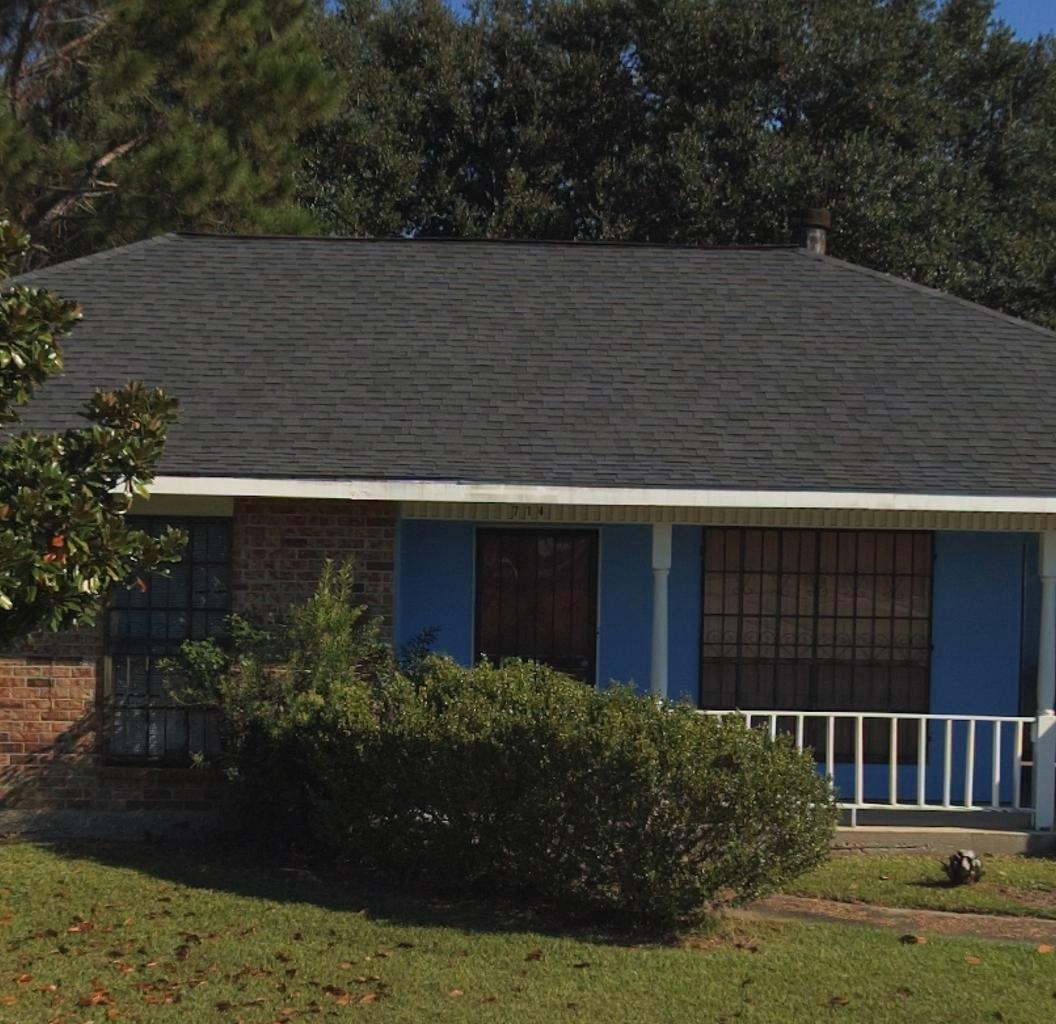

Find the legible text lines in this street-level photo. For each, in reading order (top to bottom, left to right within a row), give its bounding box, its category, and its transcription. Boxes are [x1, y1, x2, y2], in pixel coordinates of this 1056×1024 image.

[511, 505, 545, 517] StreetNumber: 714